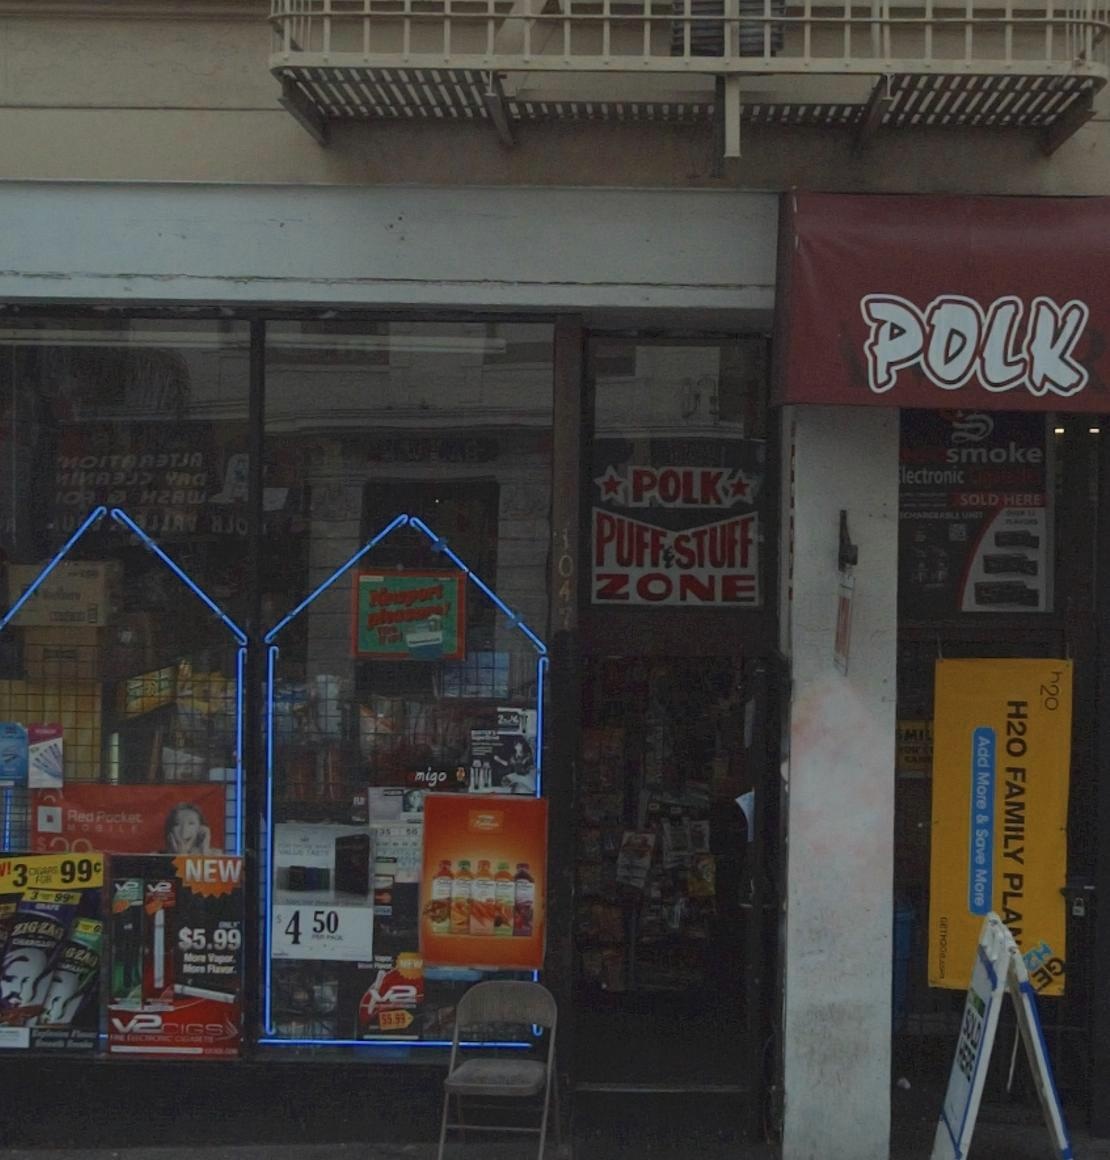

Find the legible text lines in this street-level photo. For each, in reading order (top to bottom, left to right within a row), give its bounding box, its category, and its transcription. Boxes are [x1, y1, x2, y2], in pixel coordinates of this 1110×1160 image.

[862, 292, 1091, 391] BusinessName: POLK
[59, 452, 204, 470] None: *OITA**T*A
[944, 439, 1045, 464] None: smoke
[53, 471, 208, 487] None: *I*A** ***
[138, 489, 208, 505] None: H*AW
[631, 468, 725, 506] BusinessName: POLK
[901, 464, 965, 485] None: lectronic
[959, 493, 1042, 506] None: SOLD HERE
[903, 510, 984, 519] None: CHARGEABLE UNIT
[594, 509, 757, 570] BusinessName: PUFF & STUFF
[368, 583, 445, 609] None: Newport
[557, 525, 574, 629] StreetNumber: 1047
[594, 573, 756, 603] BusinessName: ZONE
[1038, 671, 1063, 713] None: h2O
[902, 728, 933, 742] None: MIL
[413, 765, 448, 789] None: migo
[66, 823, 138, 833] None: MOBILE
[66, 808, 143, 824] None: Red Pocket
[973, 735, 991, 907] None: Add More & Save More
[1001, 699, 1028, 946] None: H2O FAMILY PLA*
[12, 863, 28, 887] None: 3
[59, 858, 93, 884] None: 99
[113, 881, 140, 891] None: v2
[145, 881, 172, 893] None: v2
[183, 858, 244, 884] None: NEW
[9, 920, 64, 941] None: ZIG*ZAG
[192, 928, 242, 952] None: 5.99
[283, 908, 340, 946] None: 4 50
[63, 946, 100, 969] None: G-ZAG
[207, 952, 234, 965] None: Vapor
[206, 963, 235, 974] None: Flavor
[399, 959, 423, 970] None: NEW
[1021, 939, 1056, 974] None: *H
[368, 984, 419, 1003] None: v2
[109, 1014, 223, 1037] None: v2CIGS
[385, 1012, 406, 1026] None: 5.99
[961, 1005, 983, 1052] None: SOLD
[955, 1035, 977, 1085] None: HERE